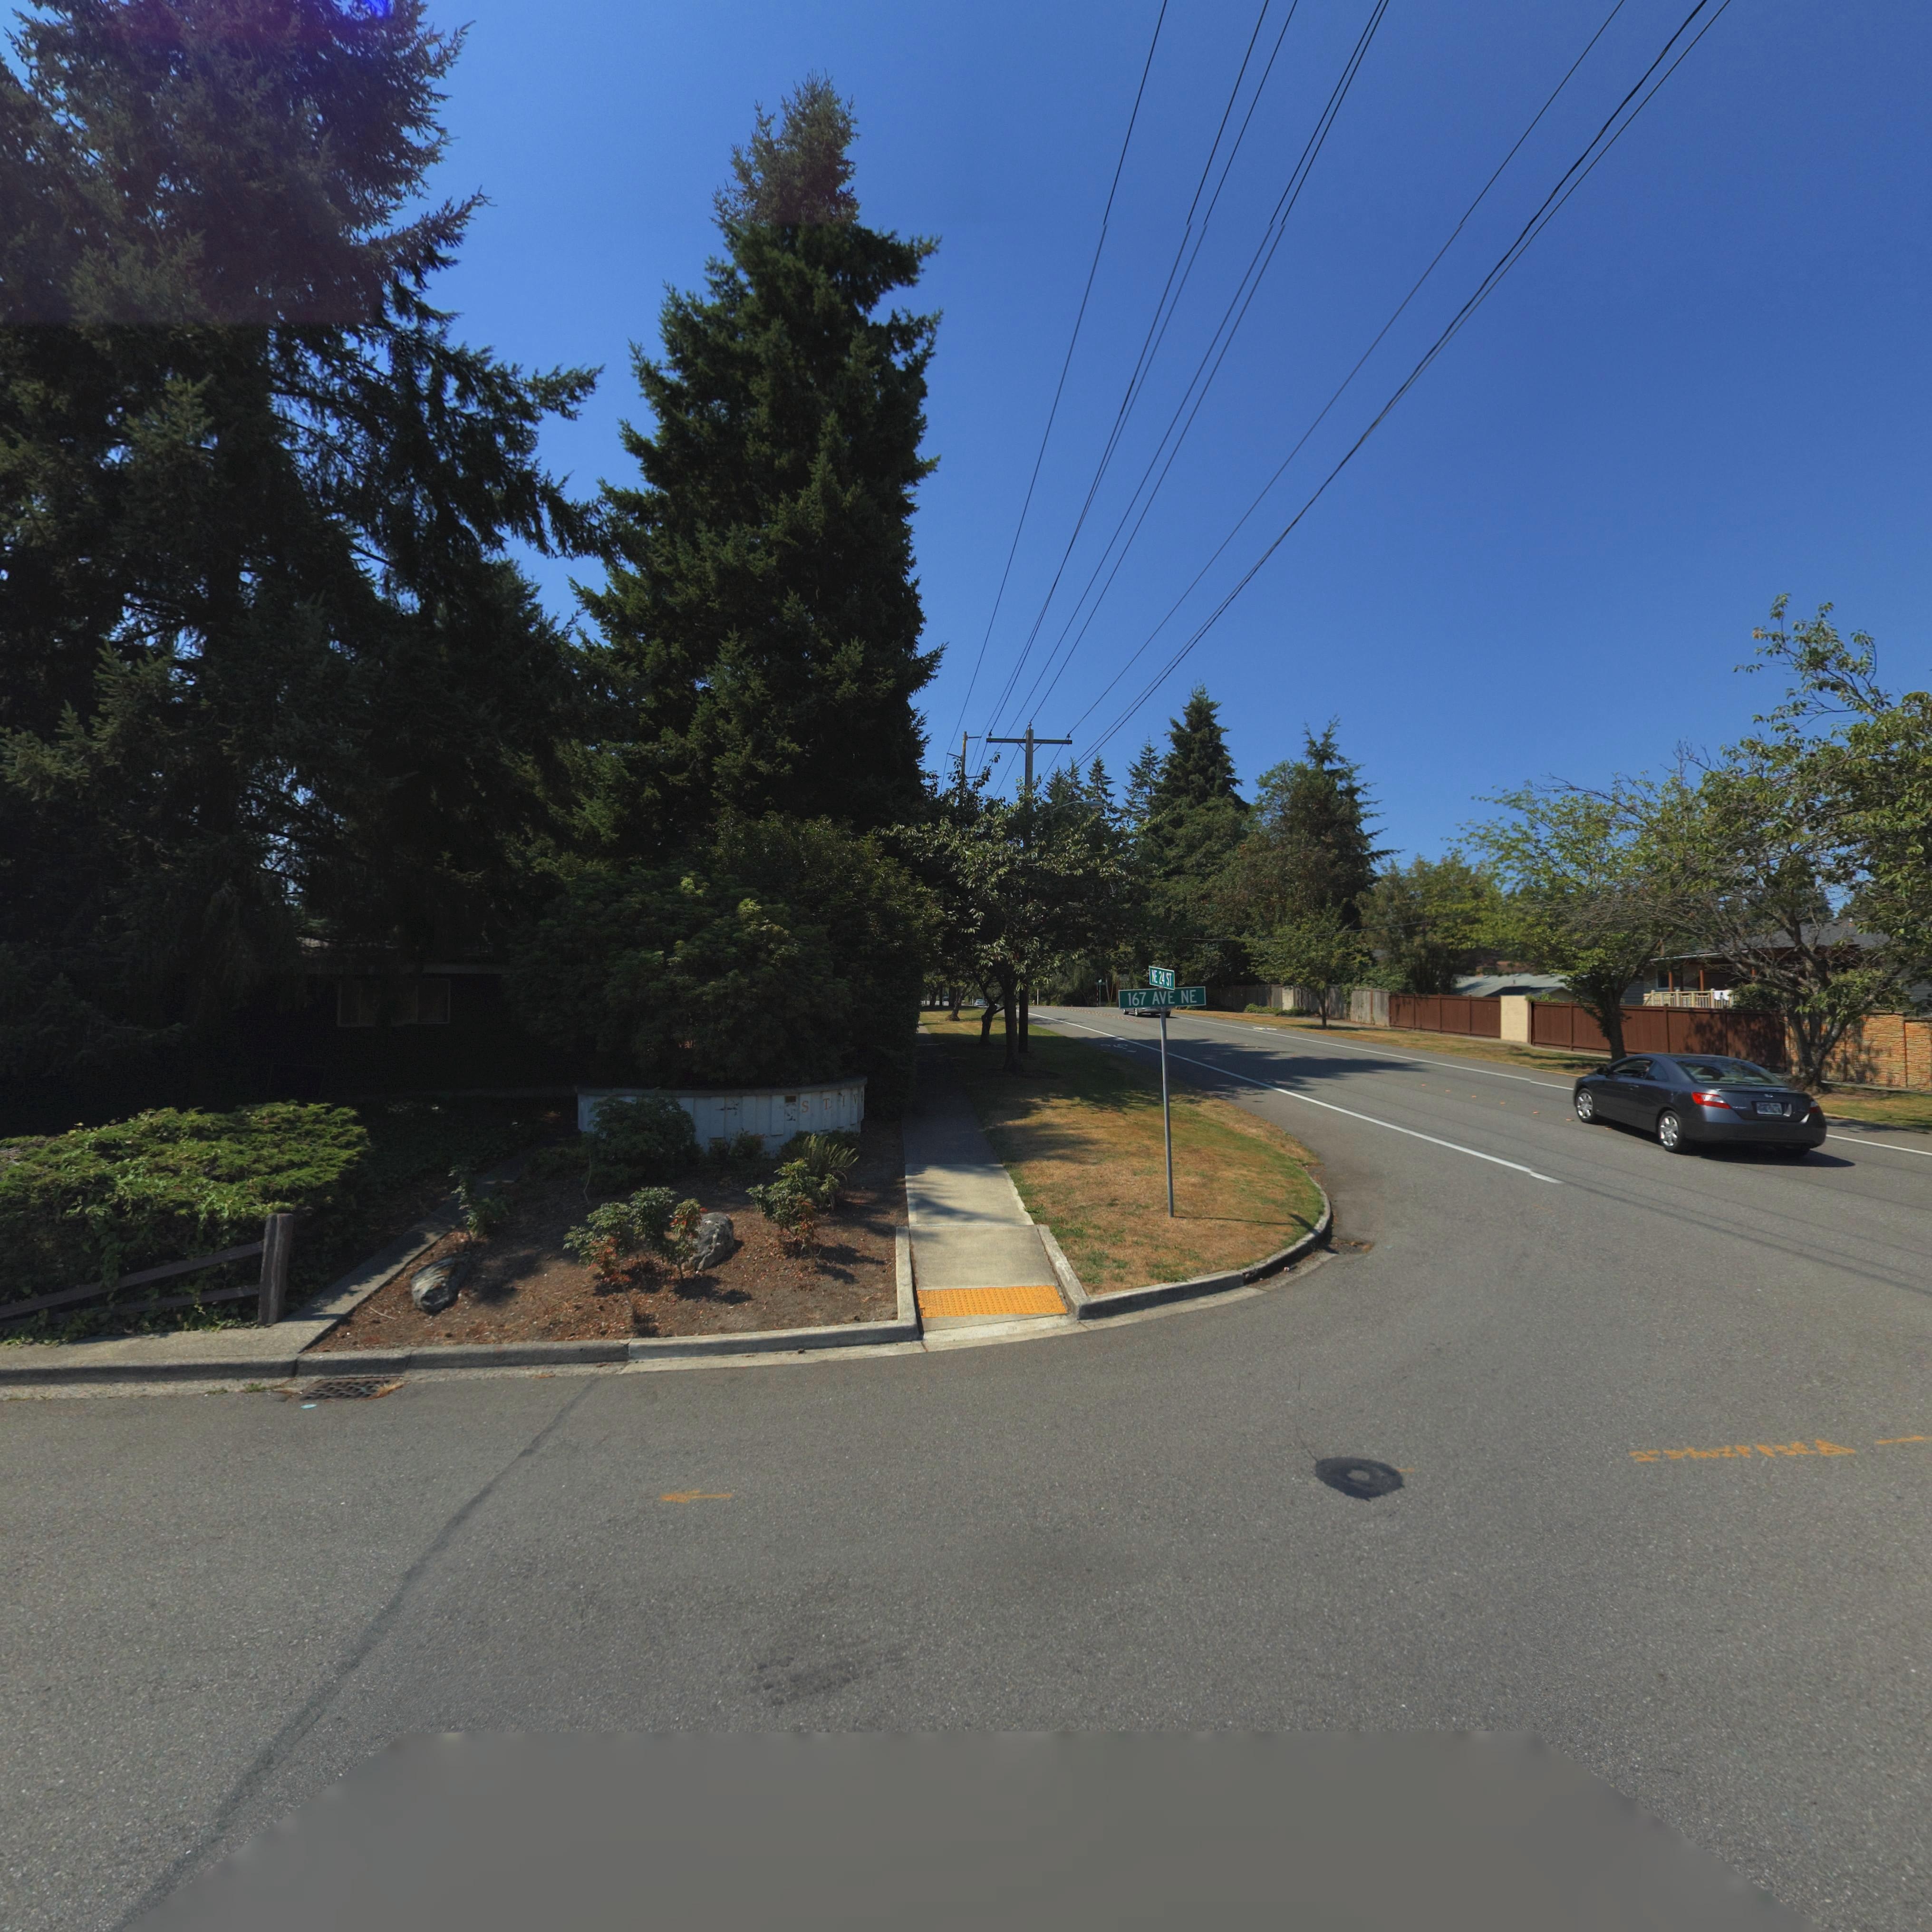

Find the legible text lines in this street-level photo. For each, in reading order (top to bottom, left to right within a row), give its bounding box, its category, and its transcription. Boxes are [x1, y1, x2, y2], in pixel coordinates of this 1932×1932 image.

[1151, 970, 1171, 986] StreetName: *E 24 ST
[1128, 989, 1197, 1006] StreetName: 167 AVE NE